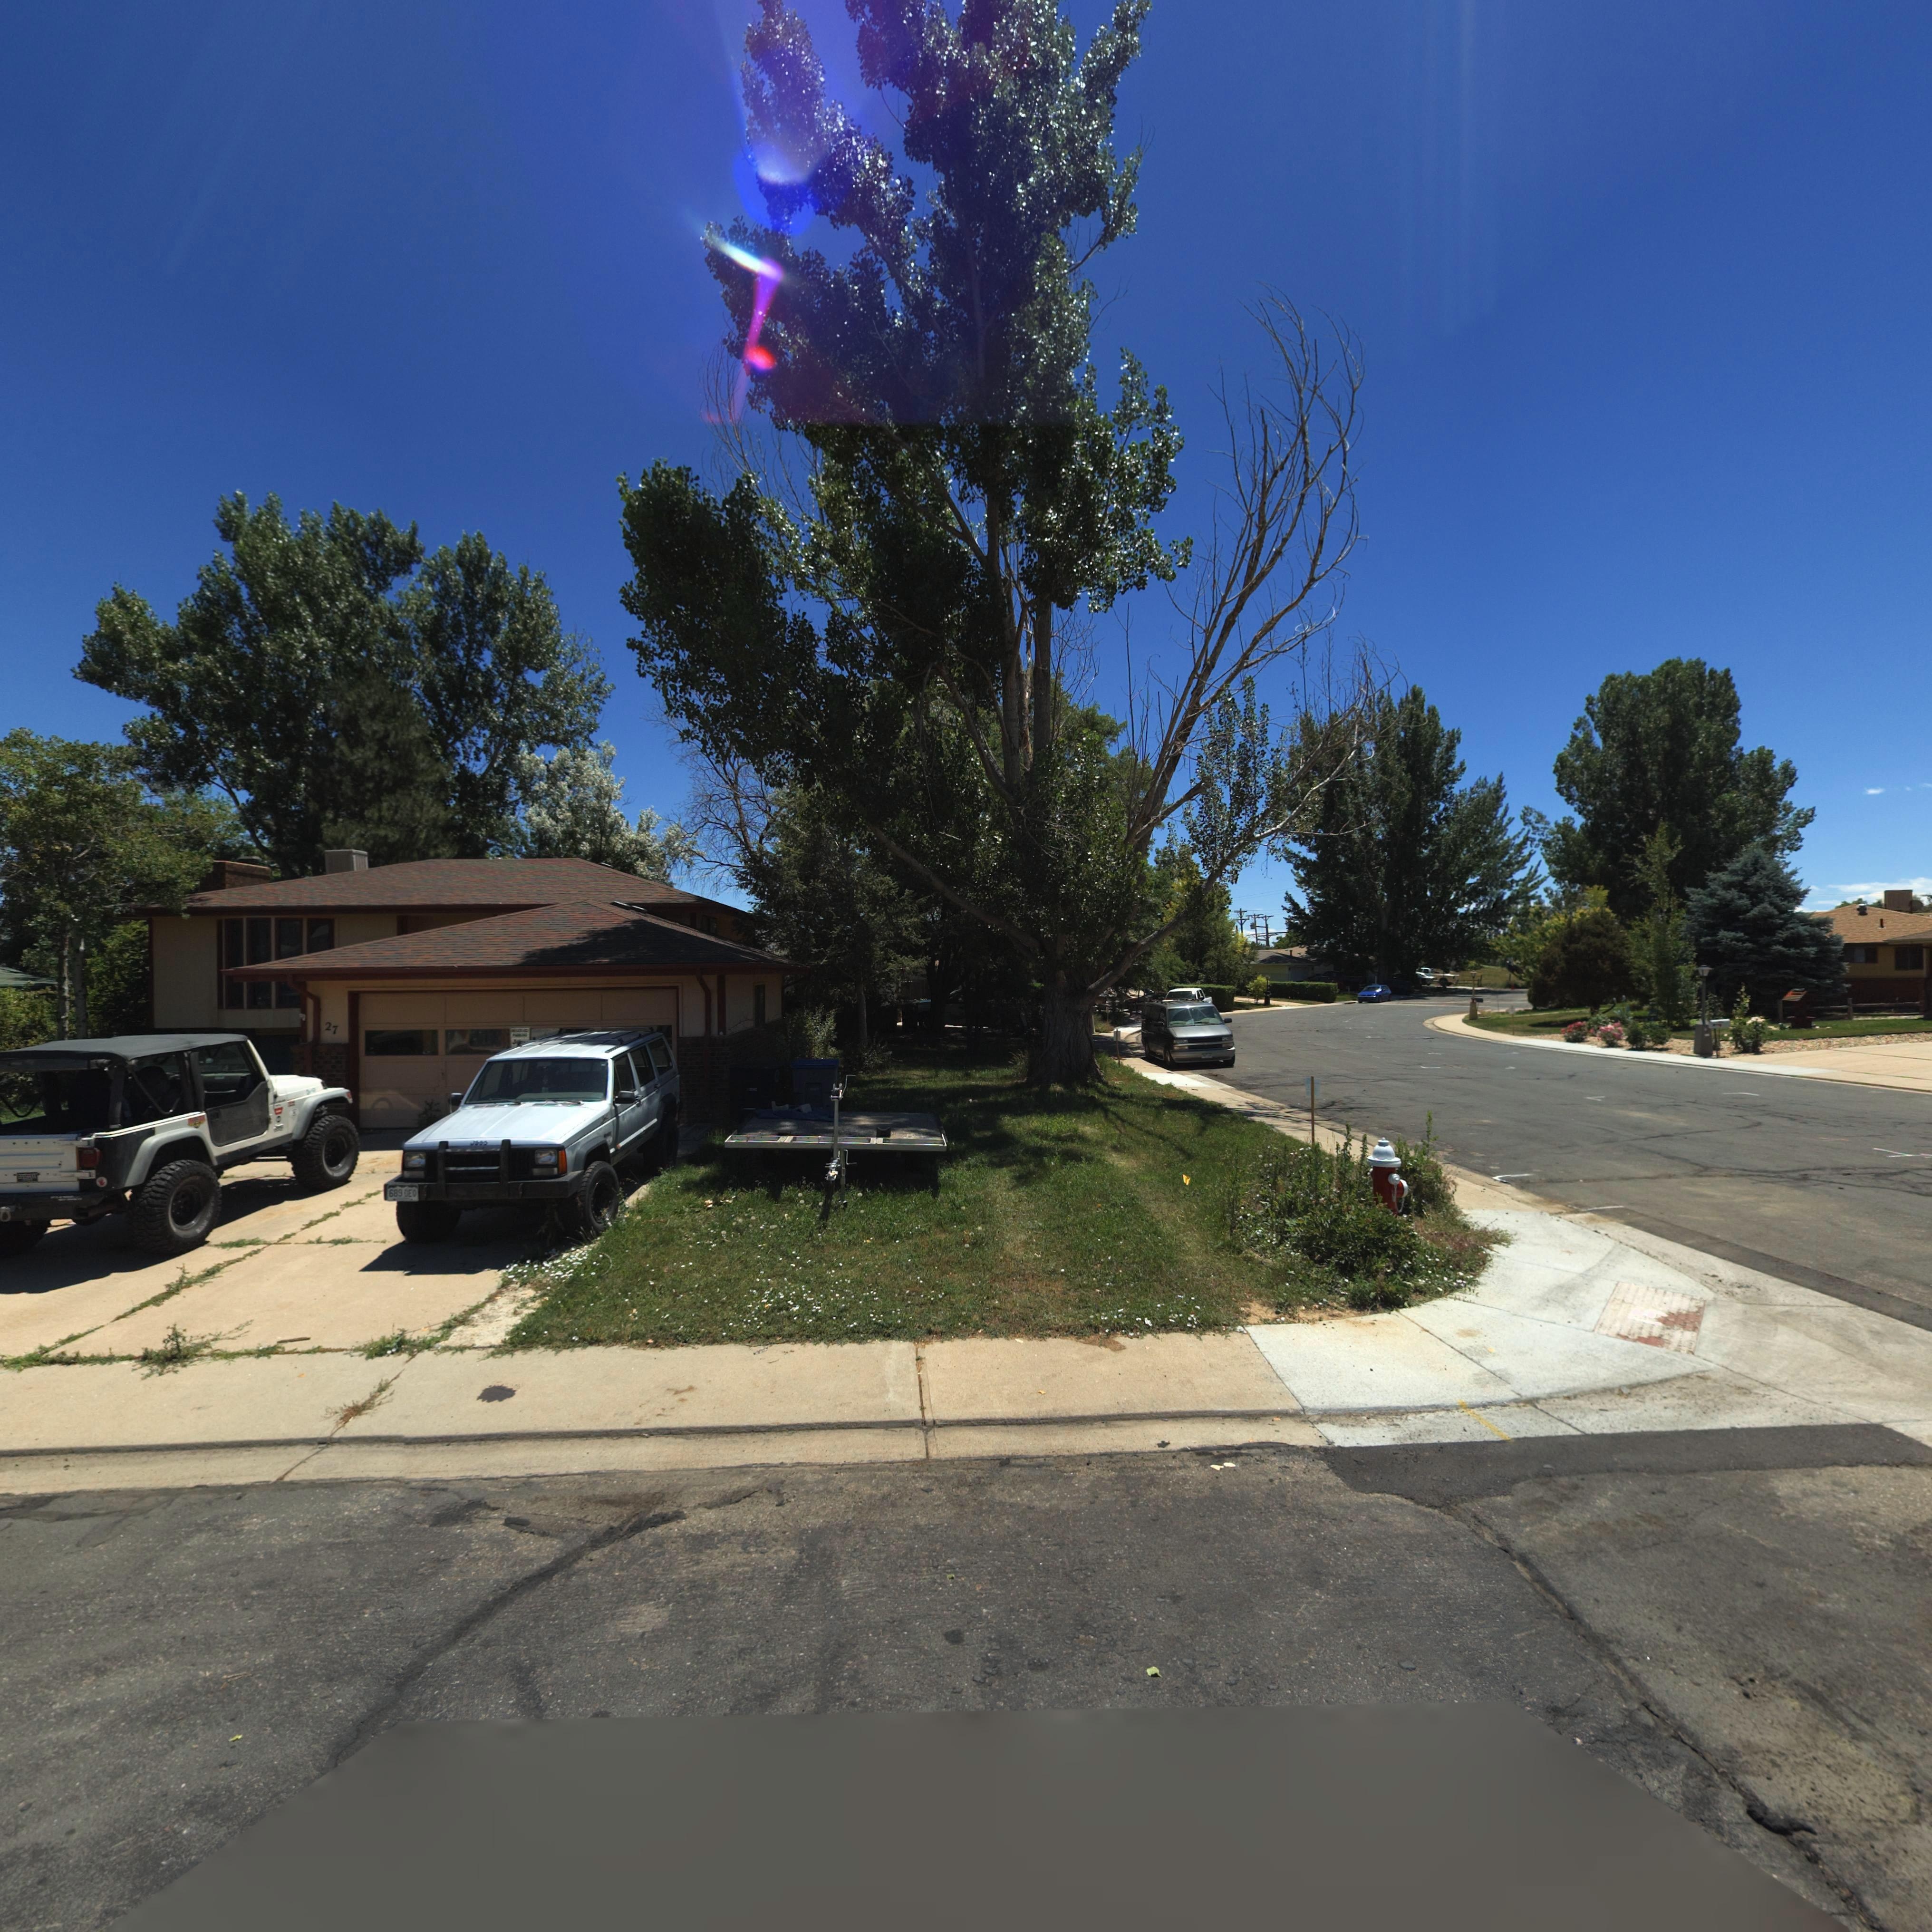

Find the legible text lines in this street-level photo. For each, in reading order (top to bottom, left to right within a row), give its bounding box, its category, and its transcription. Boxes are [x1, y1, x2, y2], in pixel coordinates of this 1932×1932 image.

[324, 1020, 338, 1034] StreetNumber: 27